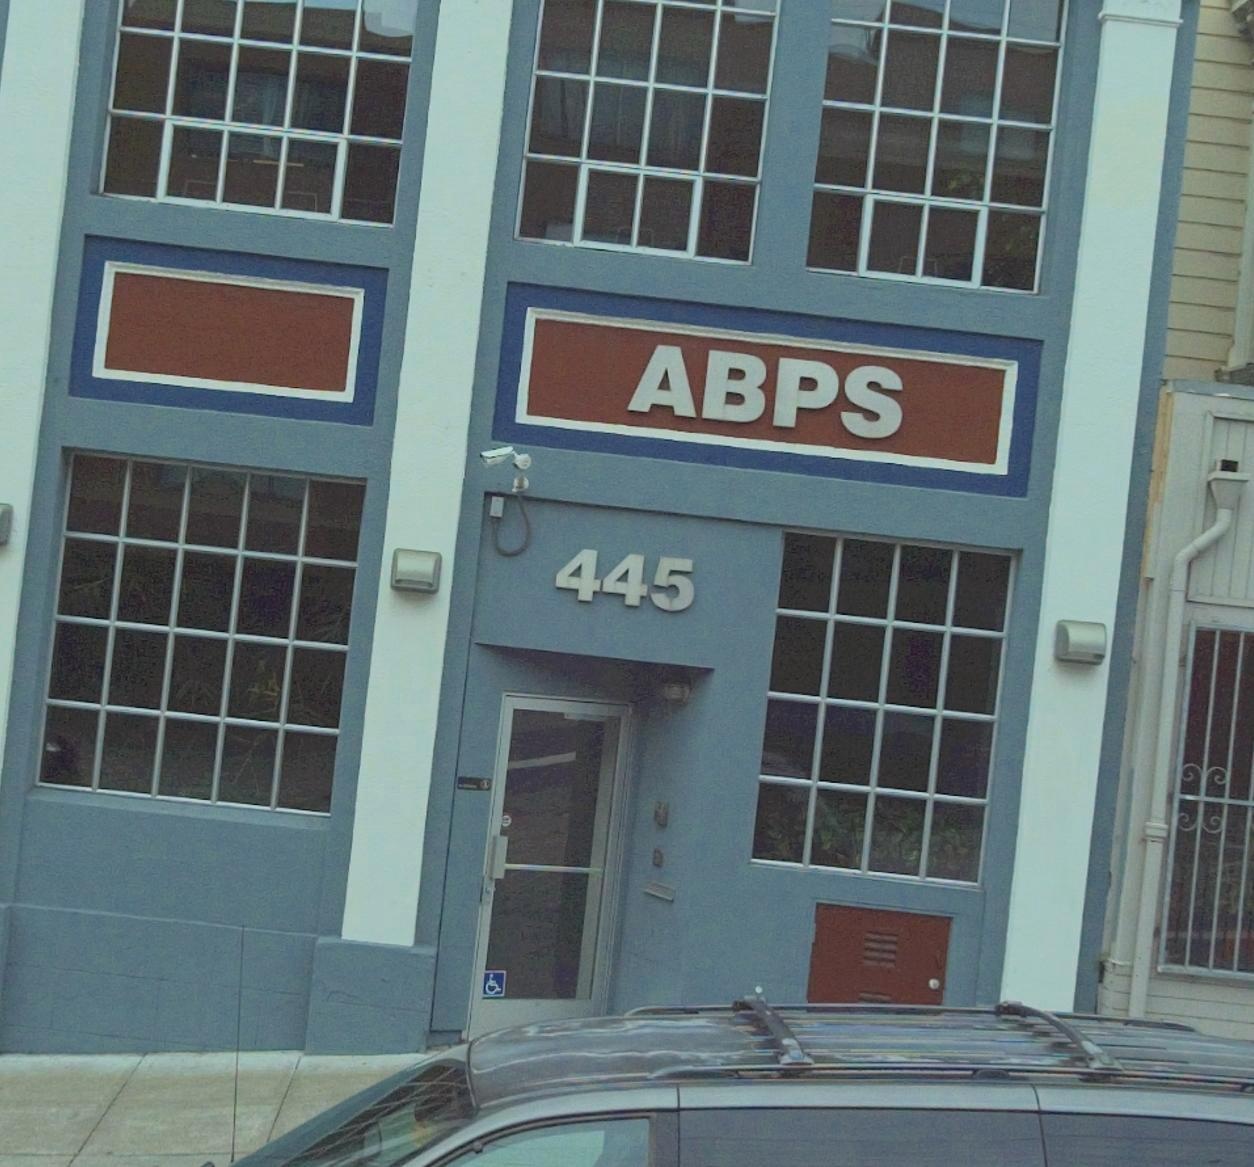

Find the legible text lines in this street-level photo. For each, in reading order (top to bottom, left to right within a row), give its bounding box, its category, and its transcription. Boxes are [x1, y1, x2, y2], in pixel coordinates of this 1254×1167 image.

[621, 338, 910, 445] BusinessName: ABPS
[549, 543, 701, 618] StreetNumber: 445